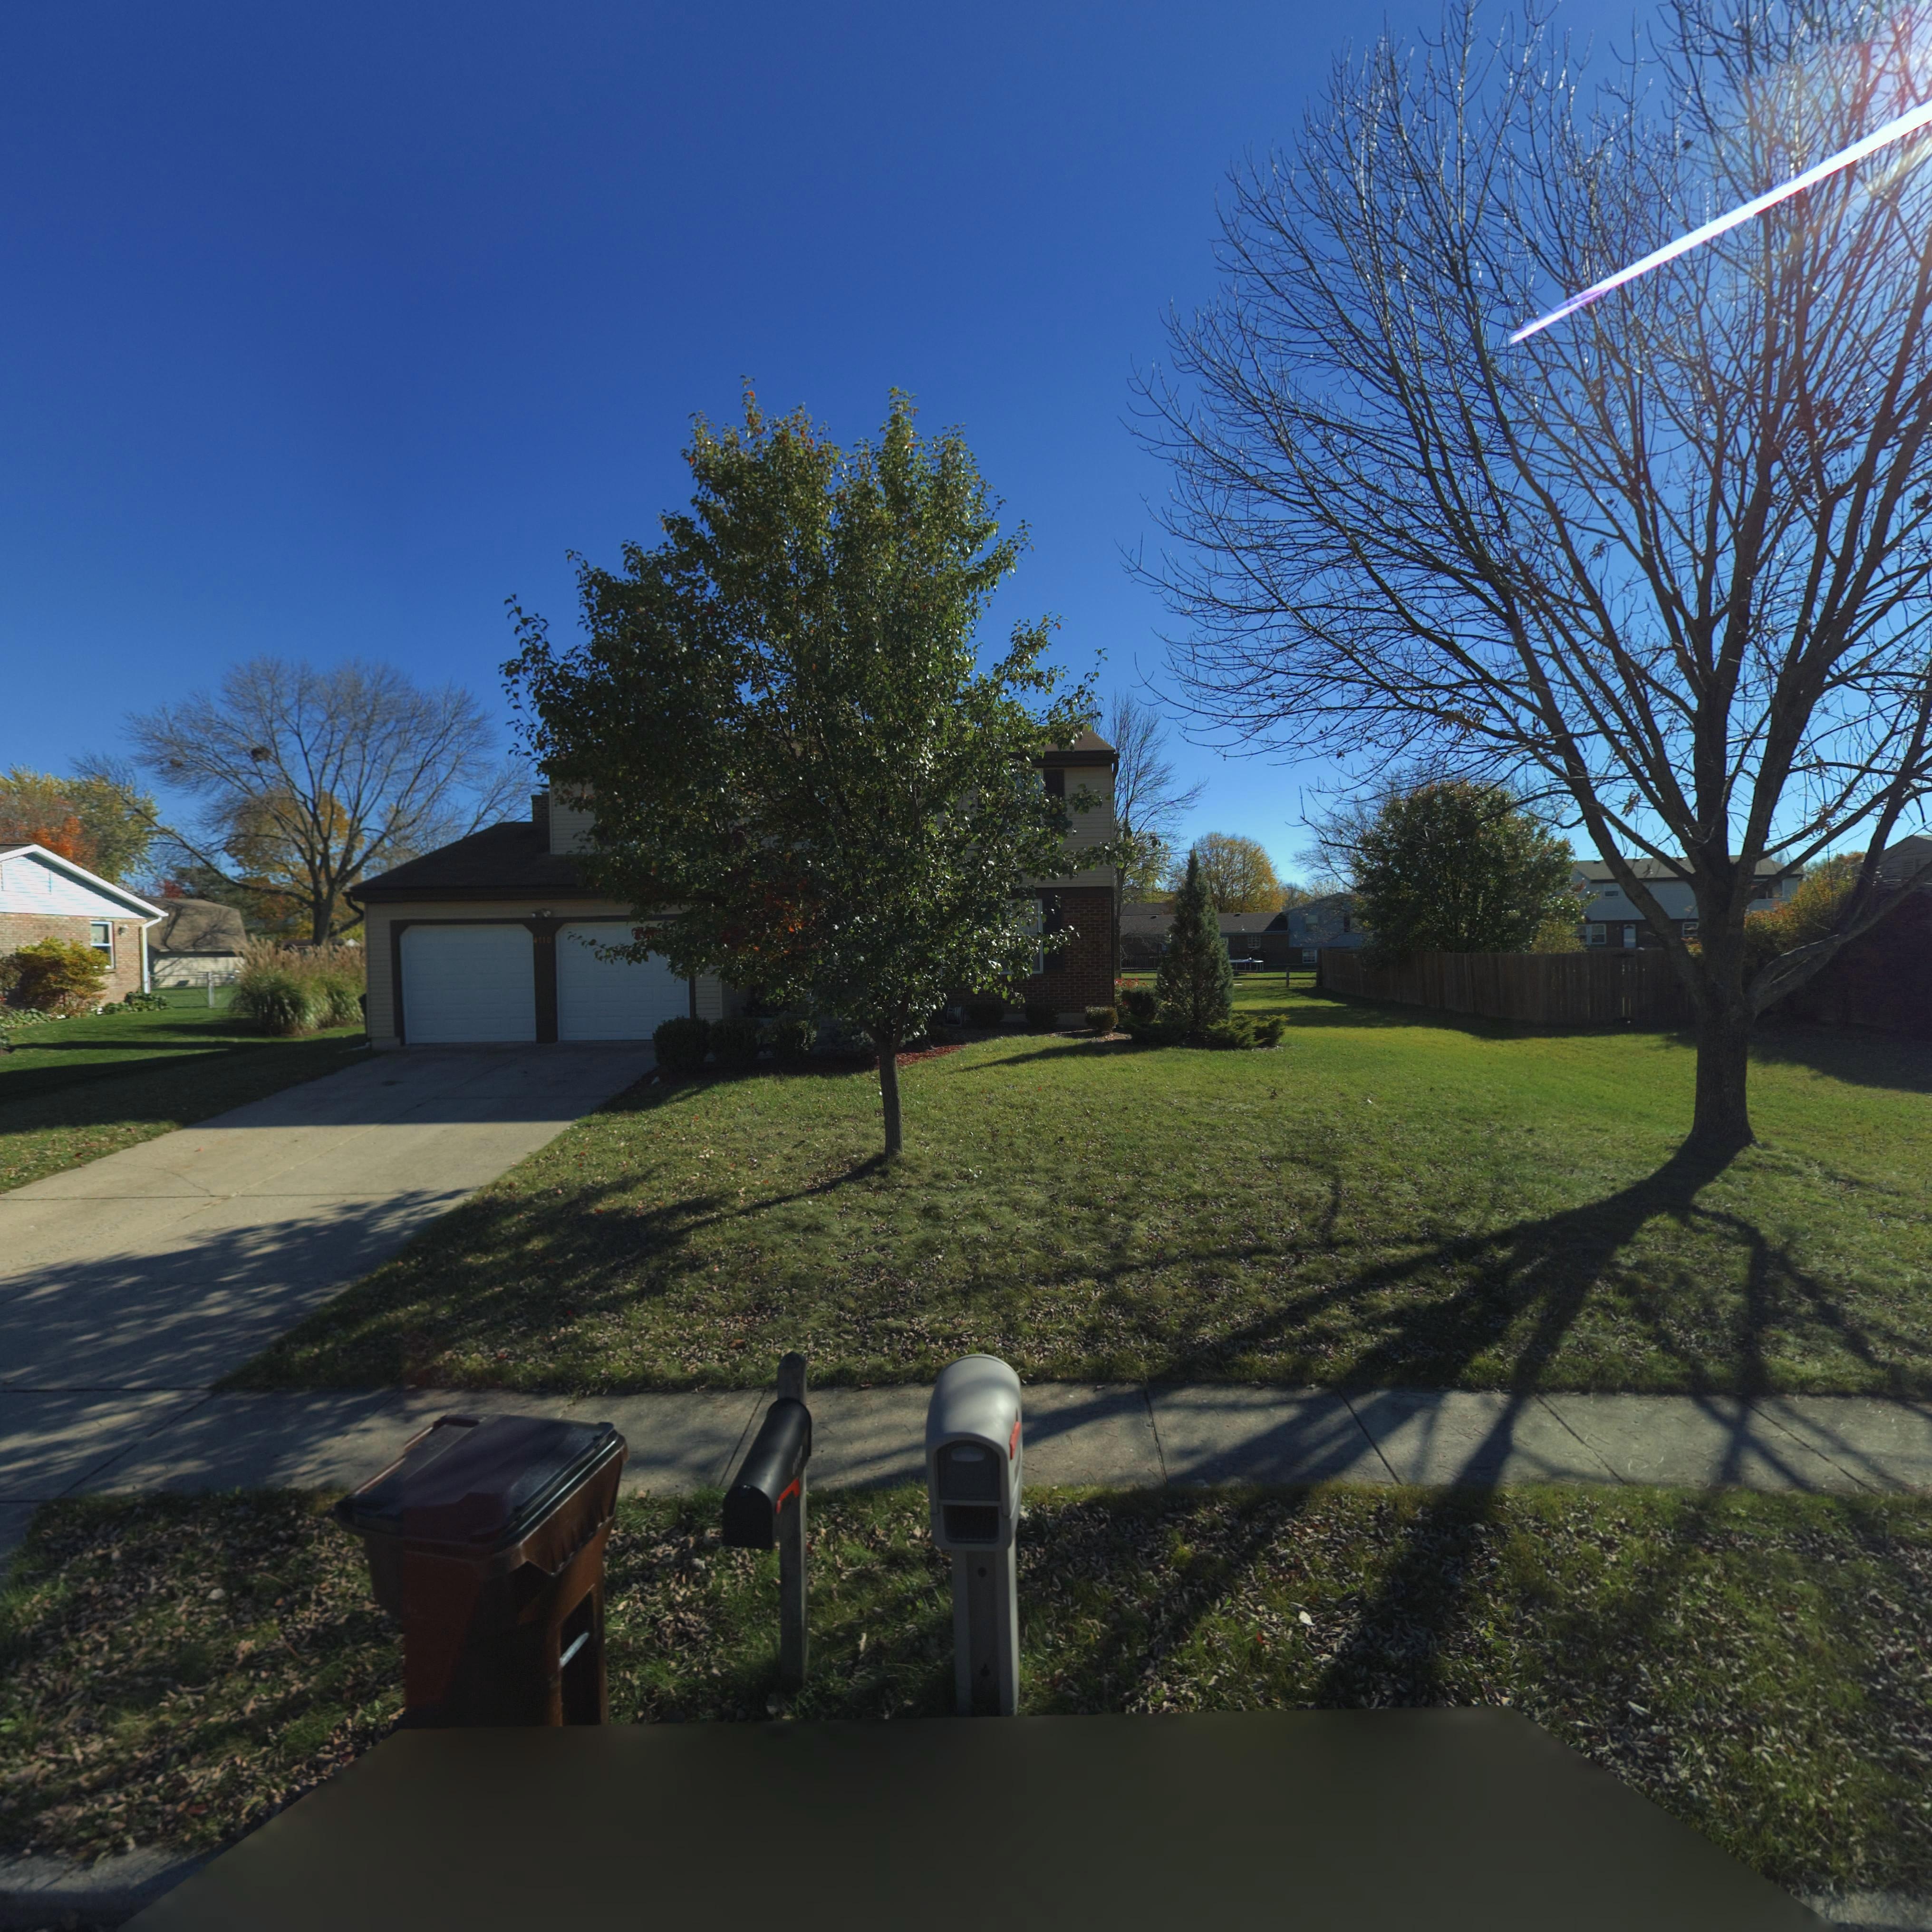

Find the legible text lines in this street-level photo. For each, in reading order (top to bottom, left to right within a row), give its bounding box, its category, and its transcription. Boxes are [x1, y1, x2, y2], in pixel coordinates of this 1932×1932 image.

[533, 936, 551, 944] StreetNumber: 4110